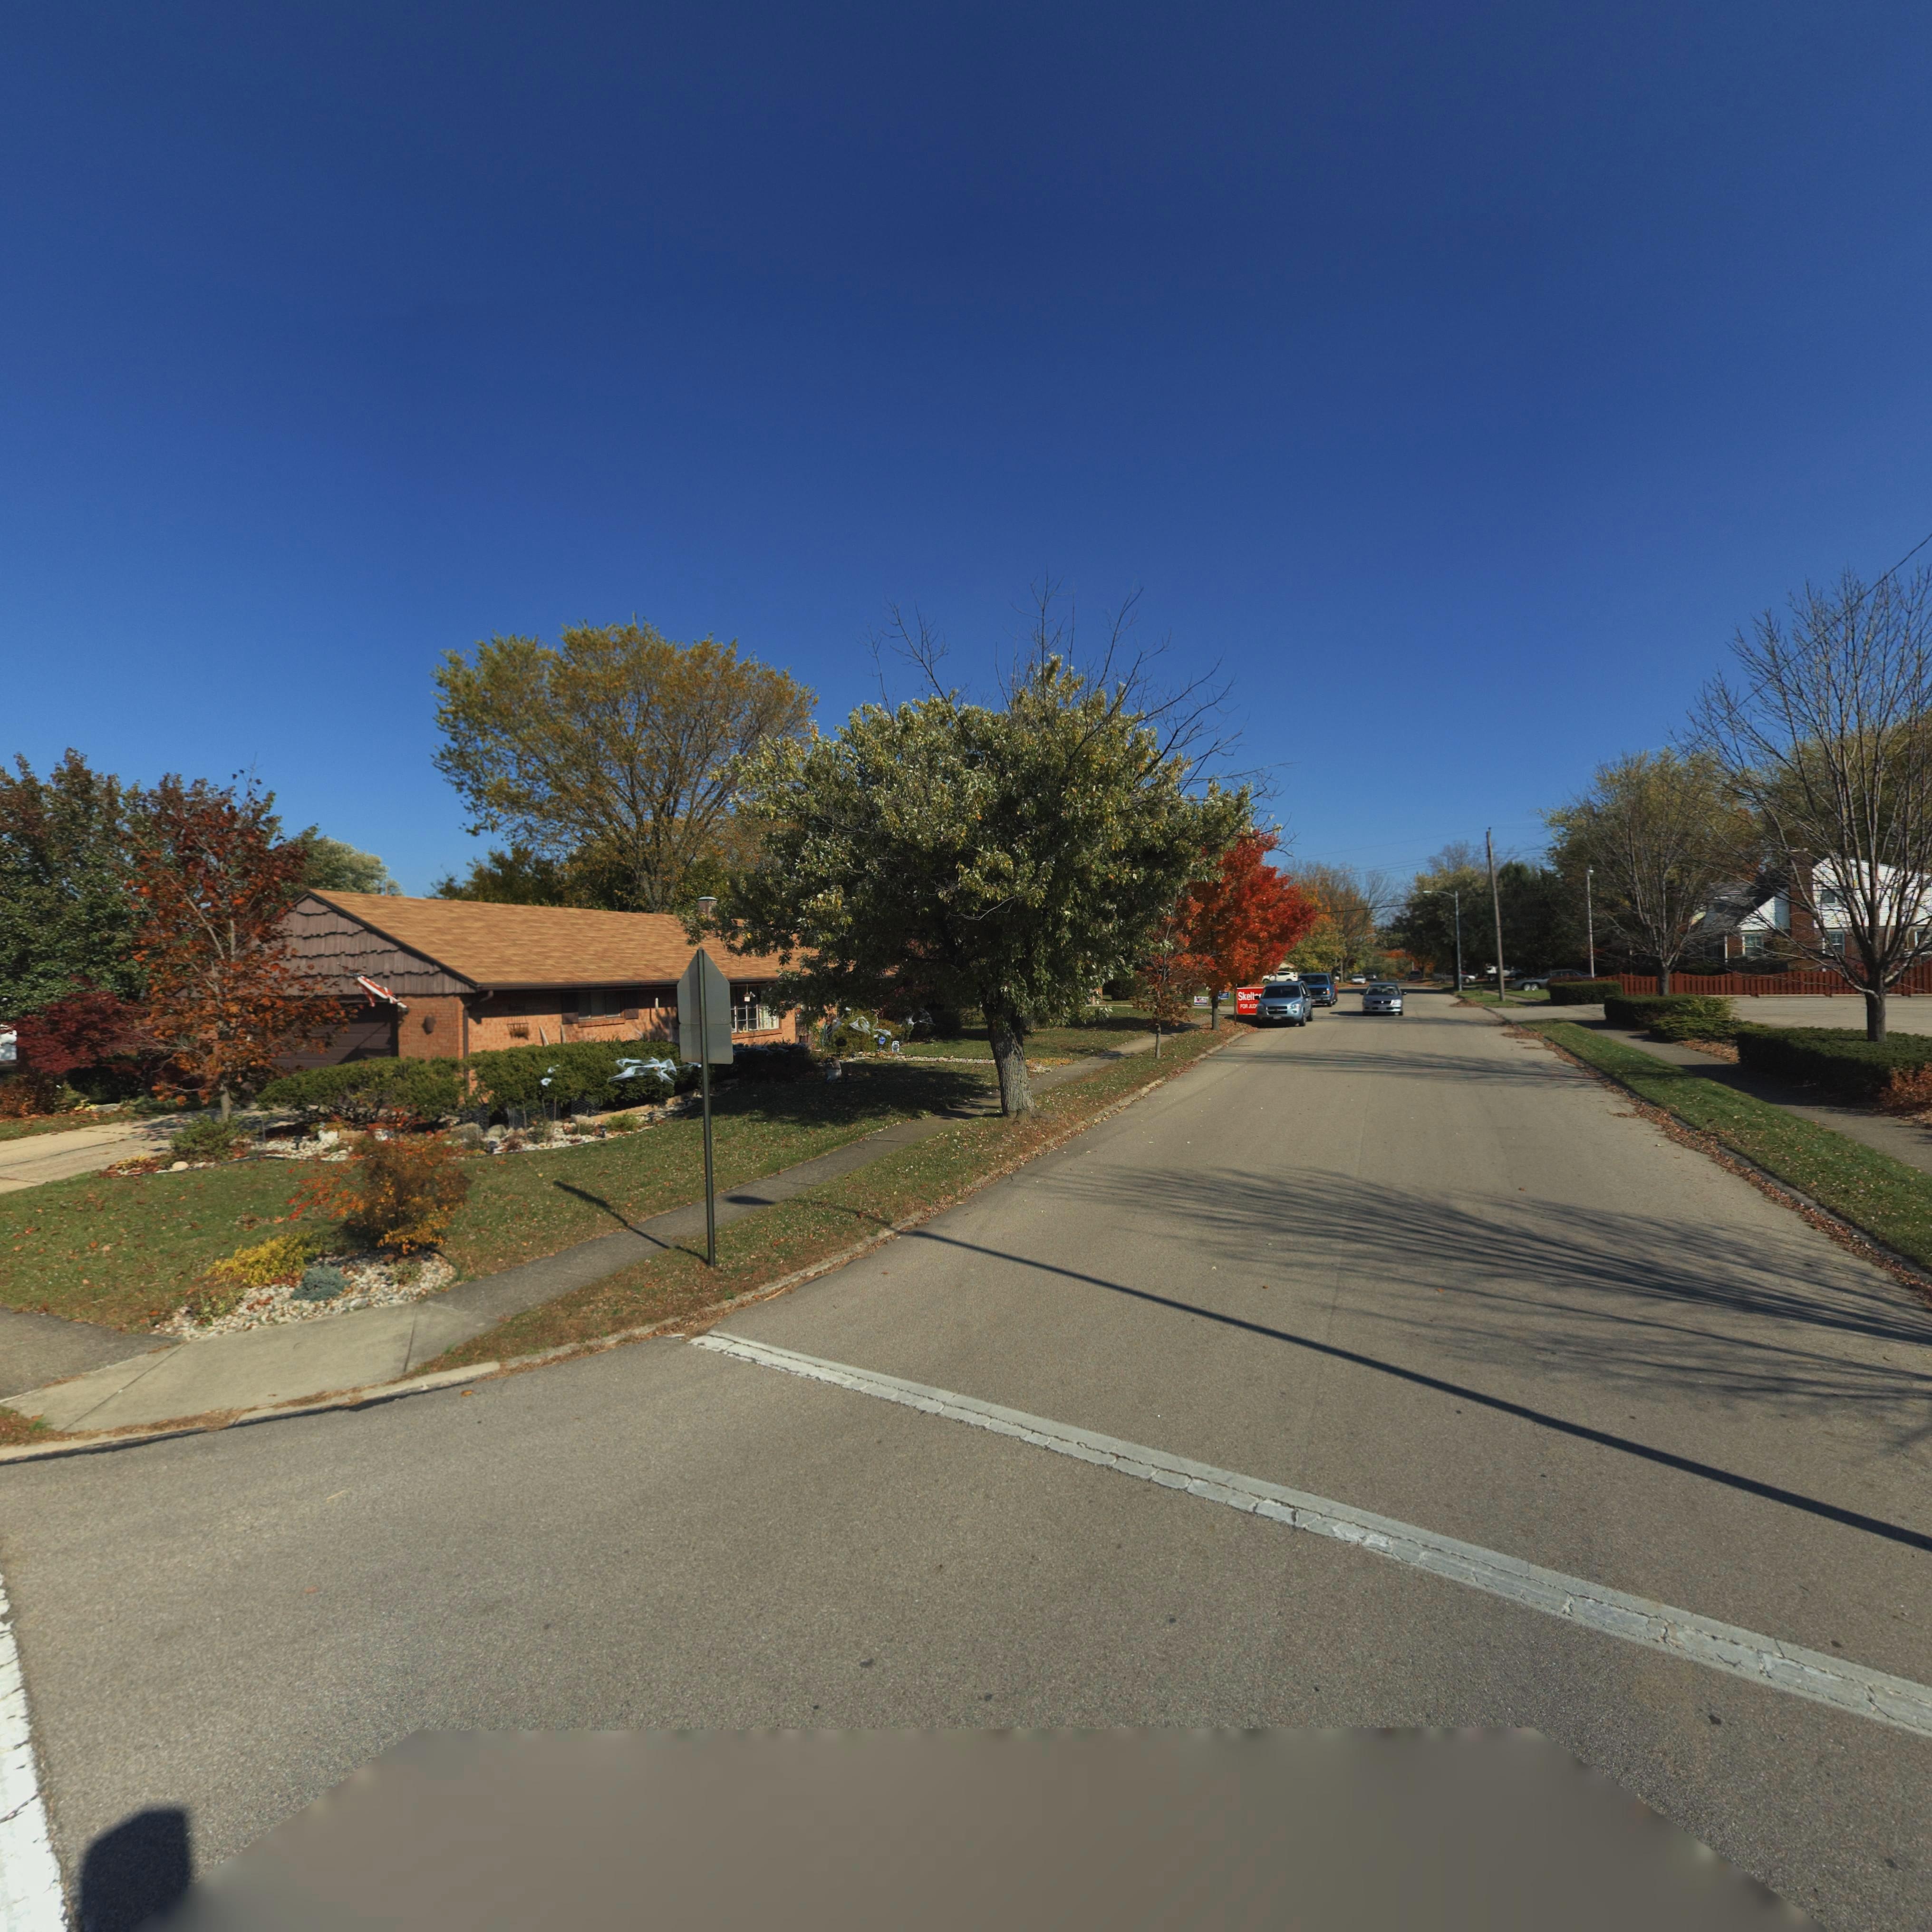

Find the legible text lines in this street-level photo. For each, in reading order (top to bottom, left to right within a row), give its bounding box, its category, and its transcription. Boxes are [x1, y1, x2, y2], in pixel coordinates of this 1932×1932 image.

[1237, 991, 1255, 1001] None: Skelt
[1240, 1003, 1256, 1009] None: FOR JUD